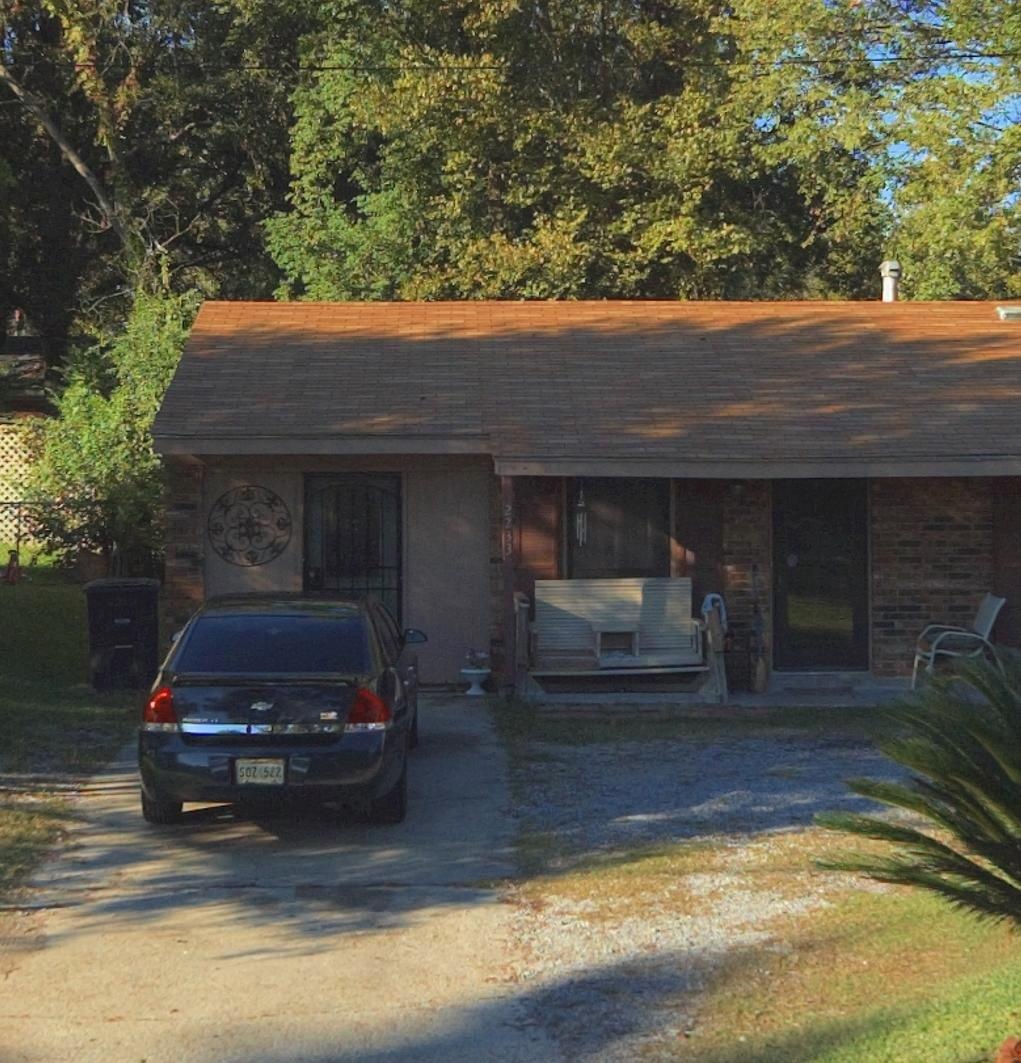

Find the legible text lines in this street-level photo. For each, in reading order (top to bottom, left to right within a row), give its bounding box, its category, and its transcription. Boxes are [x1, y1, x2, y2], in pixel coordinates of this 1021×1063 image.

[503, 503, 514, 557] StreetNumber: 2233
[238, 765, 283, 779] None: *O**522